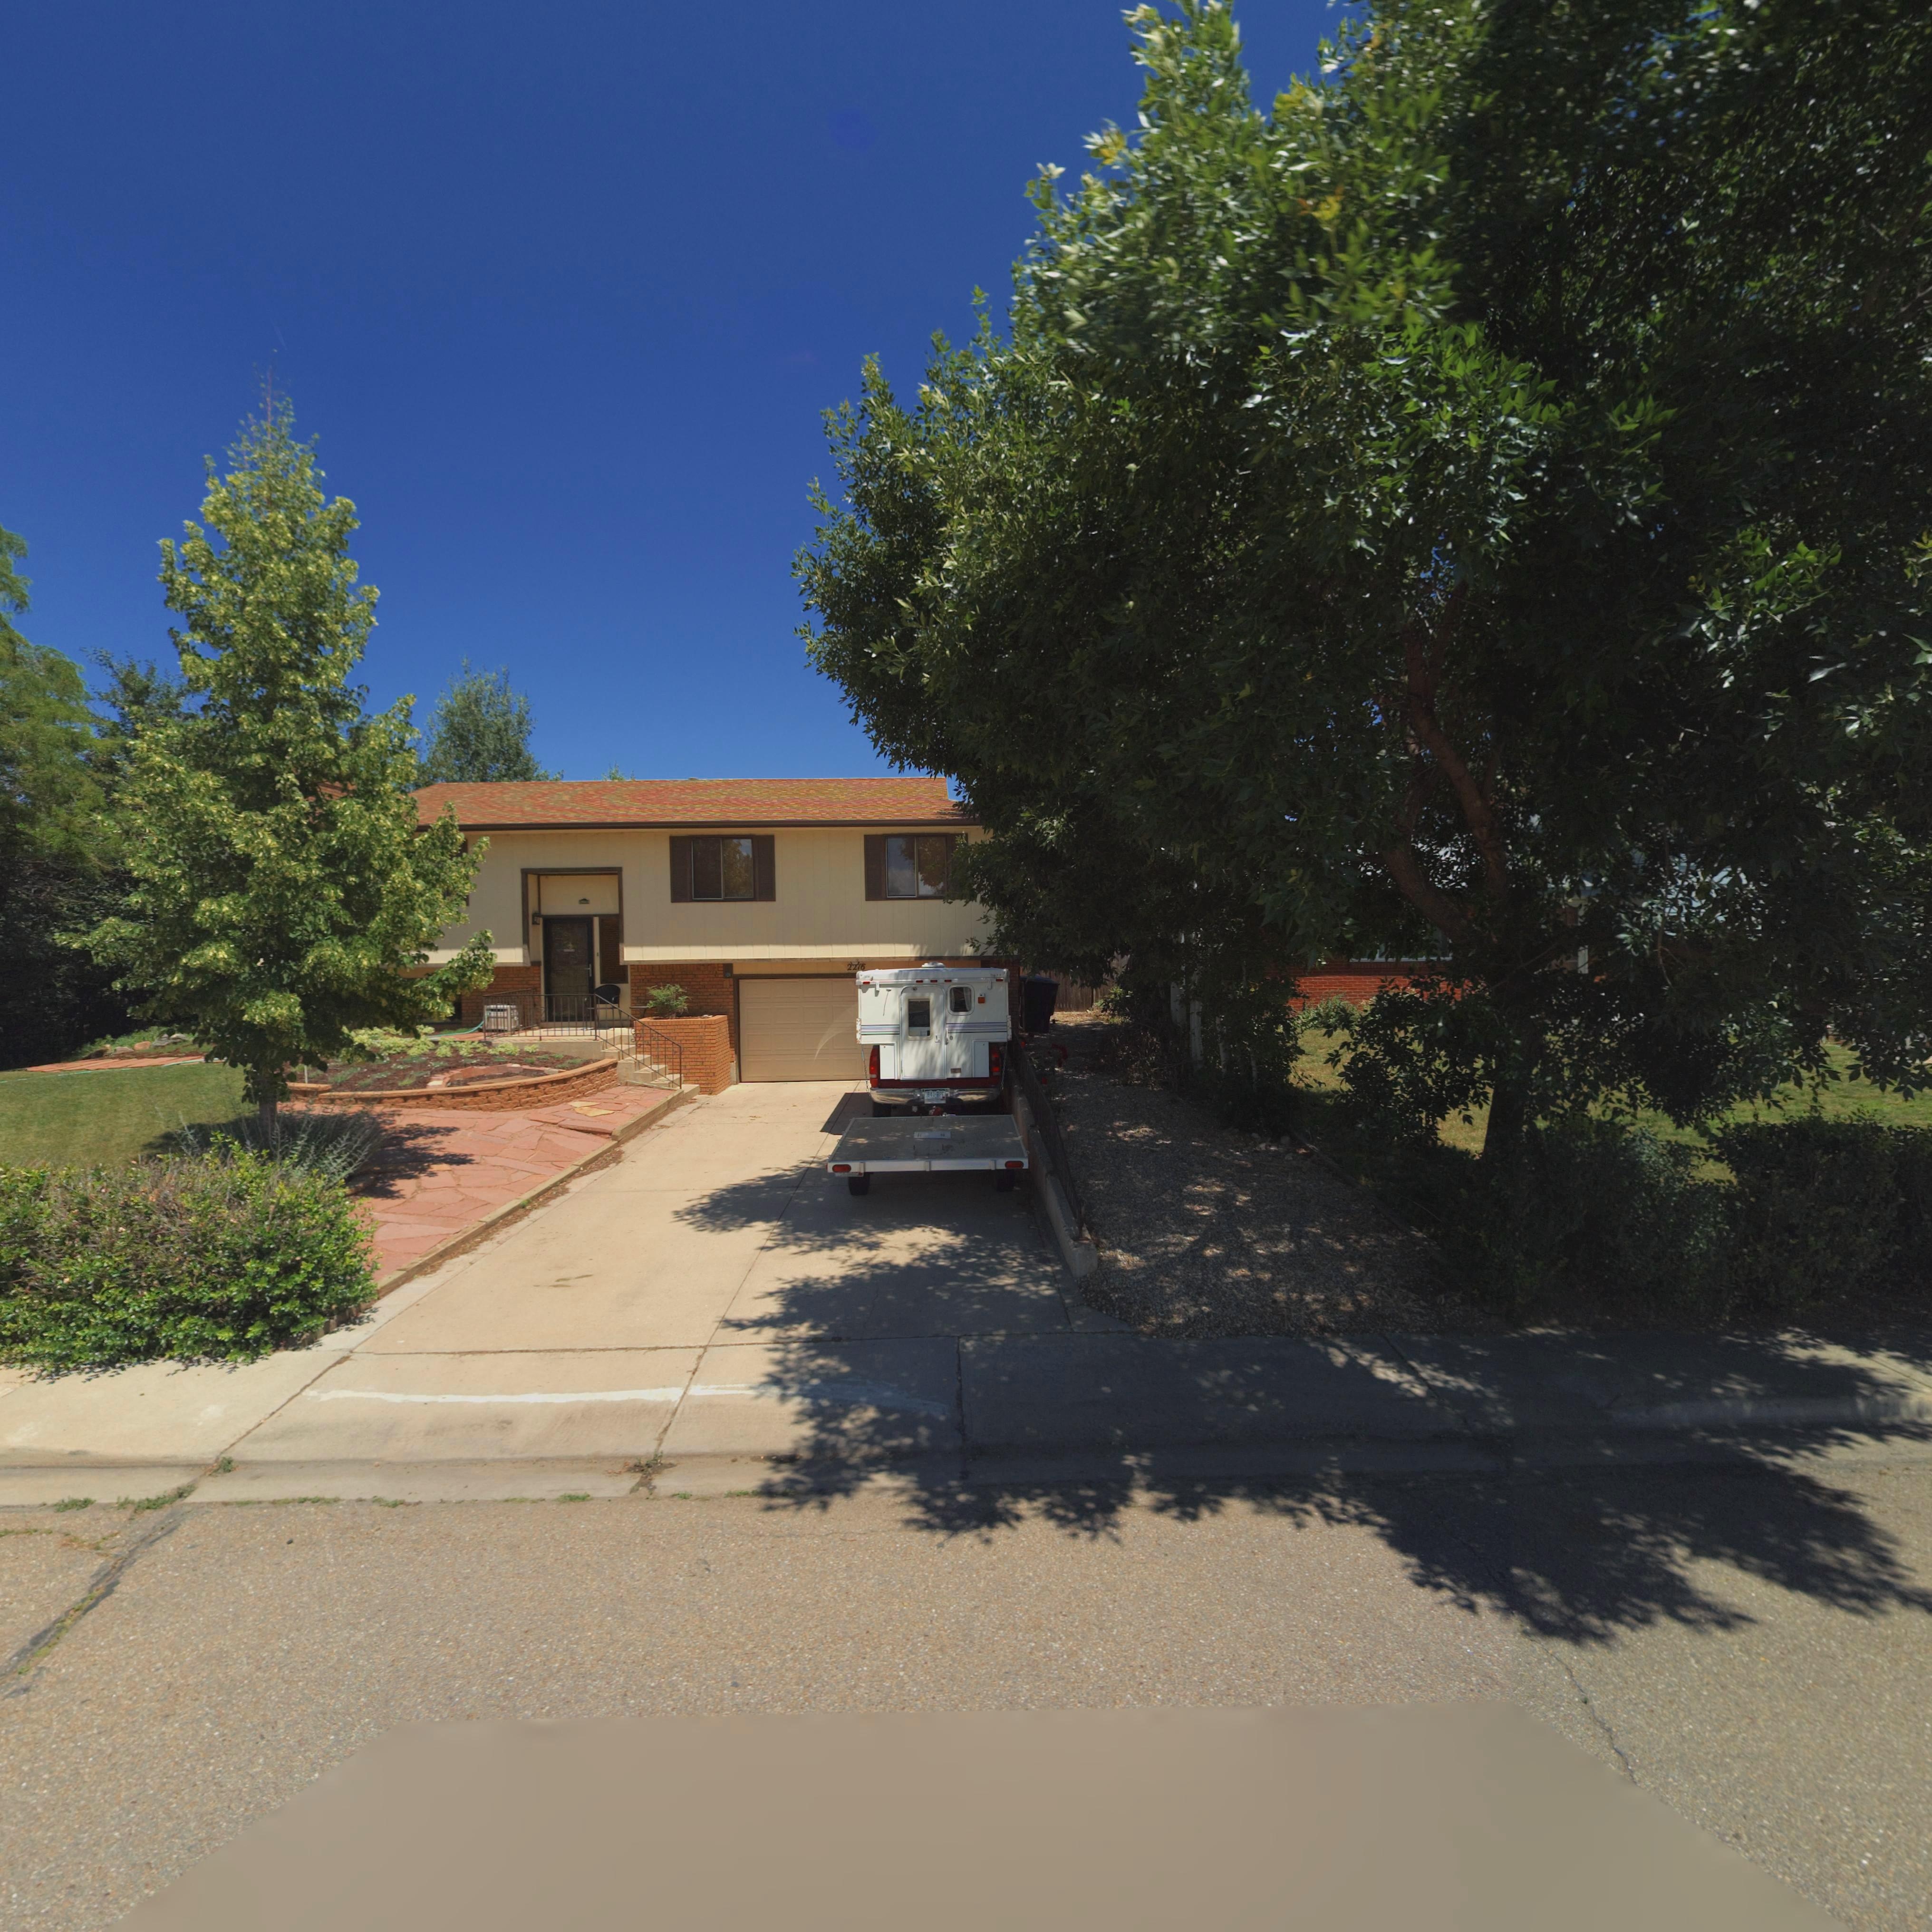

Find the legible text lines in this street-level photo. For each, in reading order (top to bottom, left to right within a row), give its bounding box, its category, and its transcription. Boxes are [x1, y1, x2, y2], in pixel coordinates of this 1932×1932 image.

[846, 963, 866, 971] StreetNumber: 2216